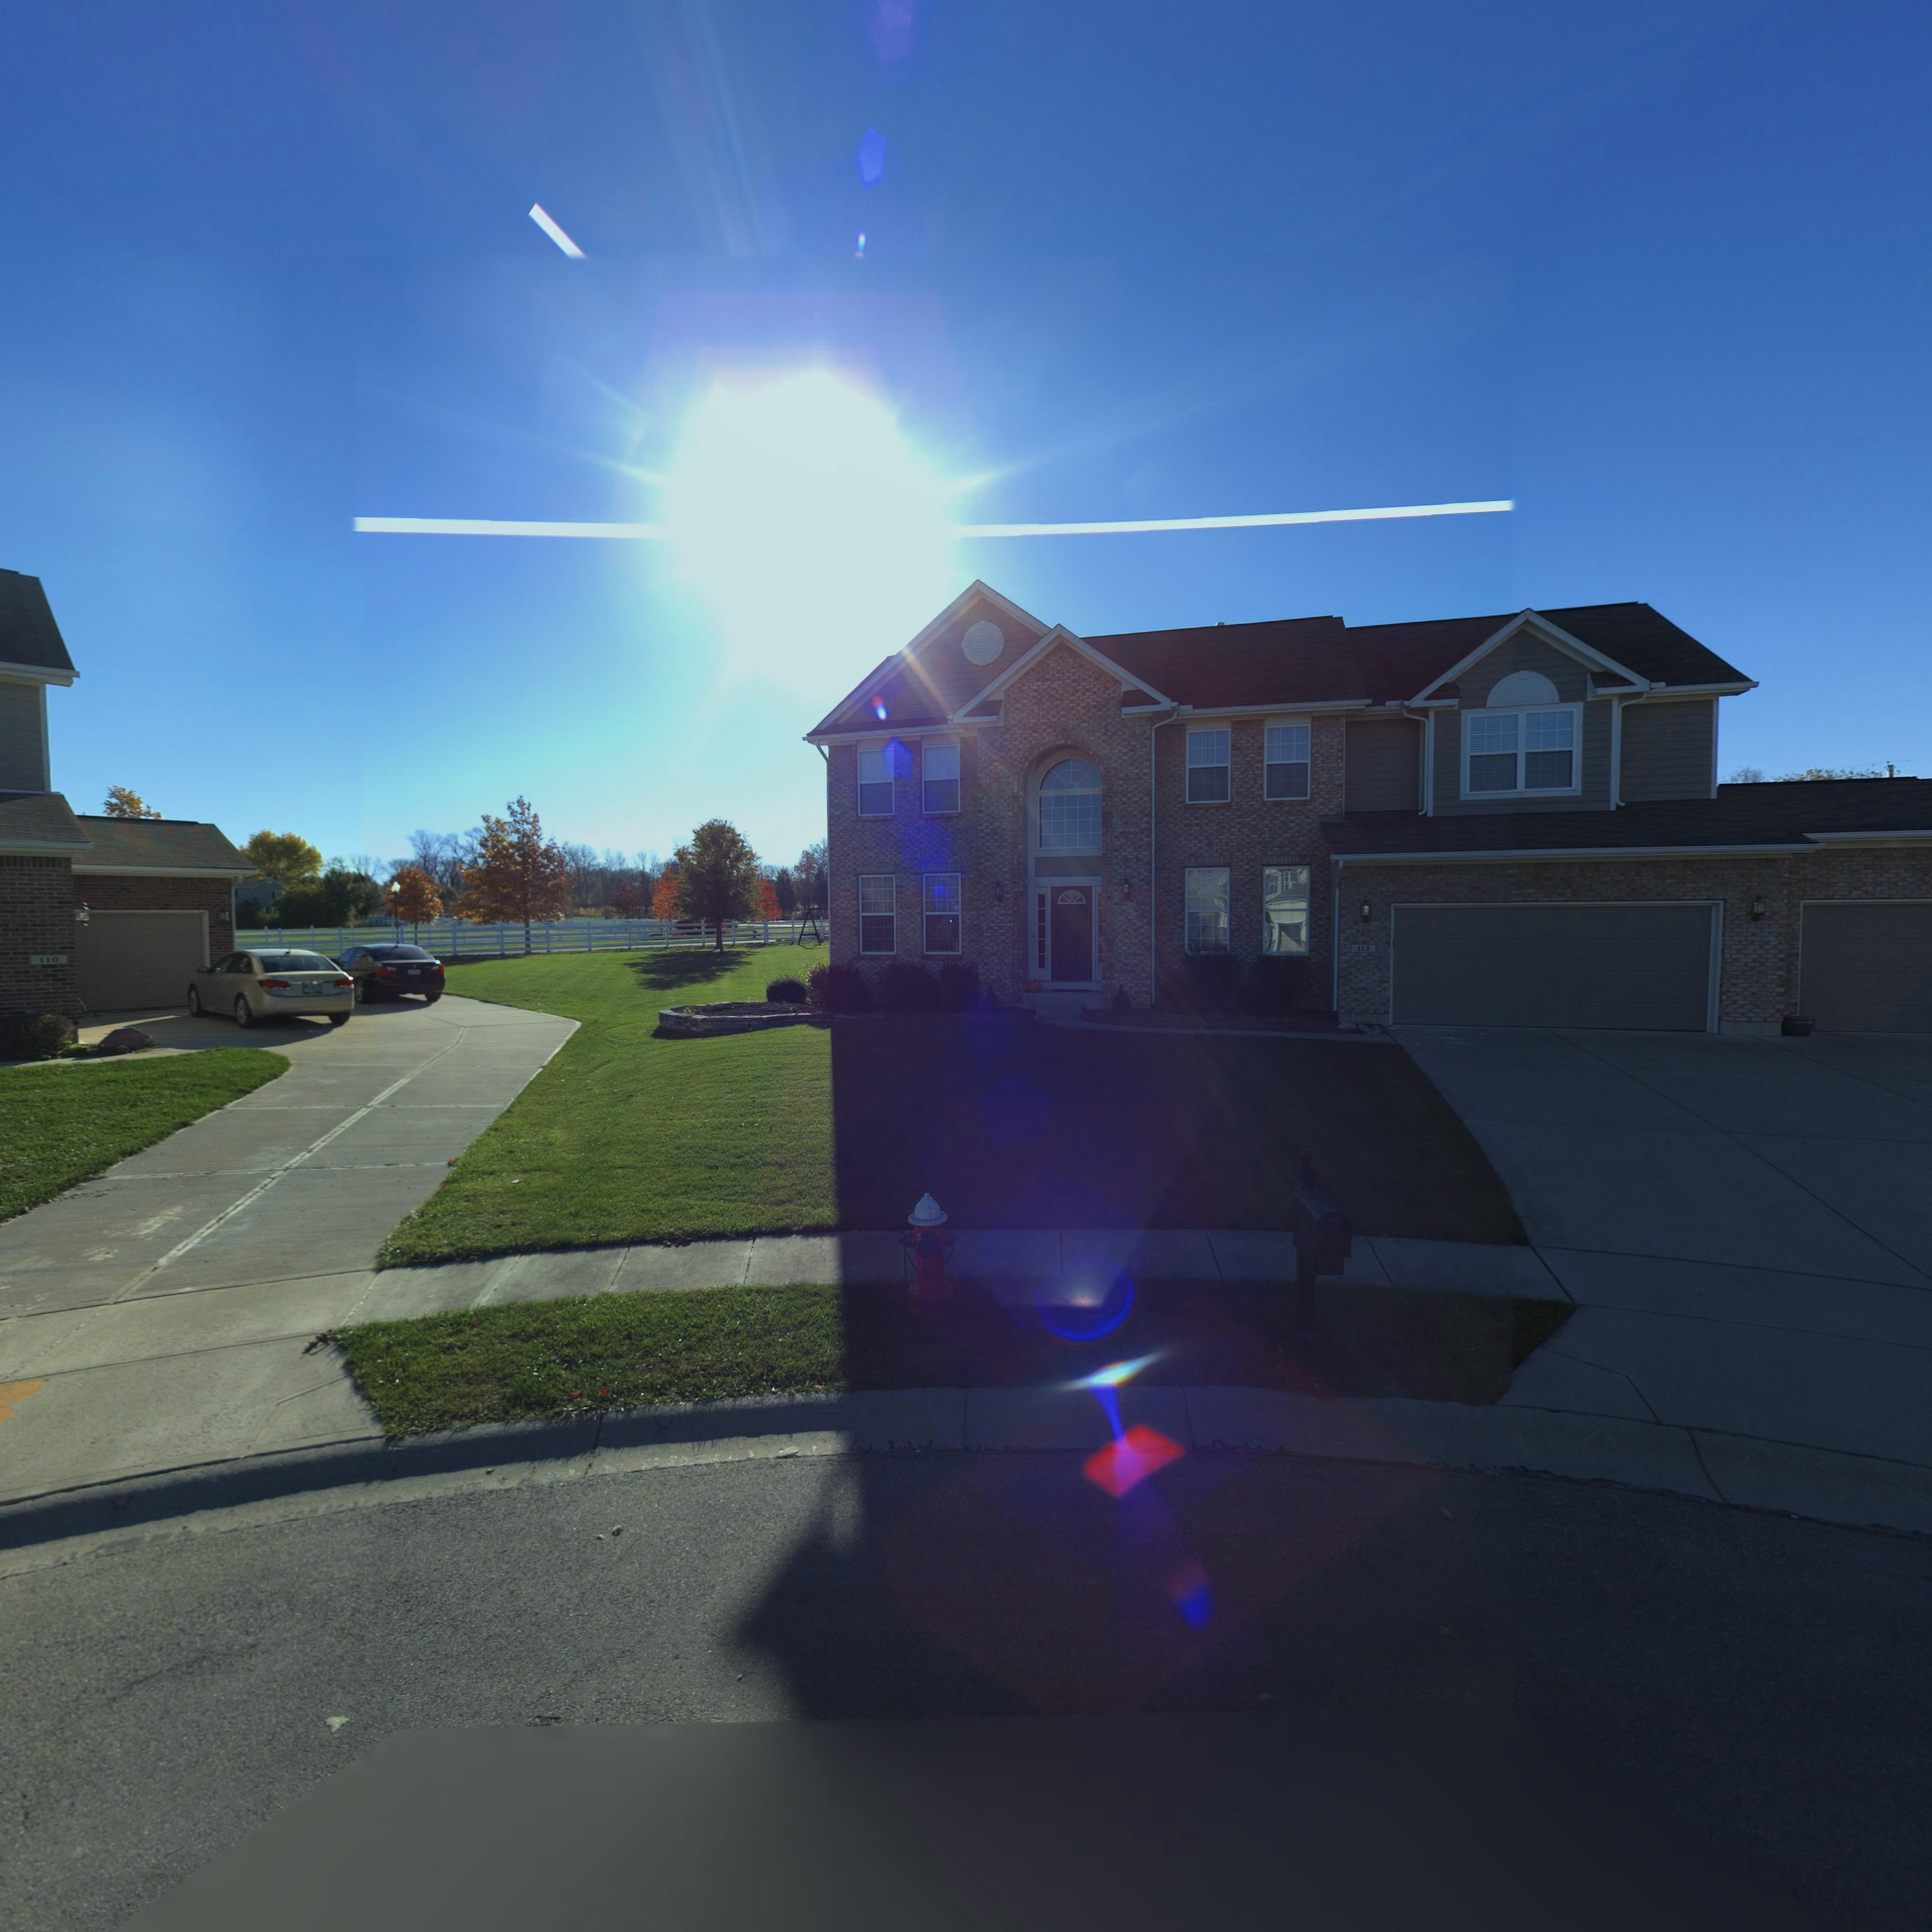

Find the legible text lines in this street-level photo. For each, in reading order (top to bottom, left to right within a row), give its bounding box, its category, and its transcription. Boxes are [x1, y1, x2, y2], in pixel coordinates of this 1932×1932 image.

[1357, 945, 1370, 952] StreetNumber: 112
[39, 956, 60, 964] StreetNumber: 110